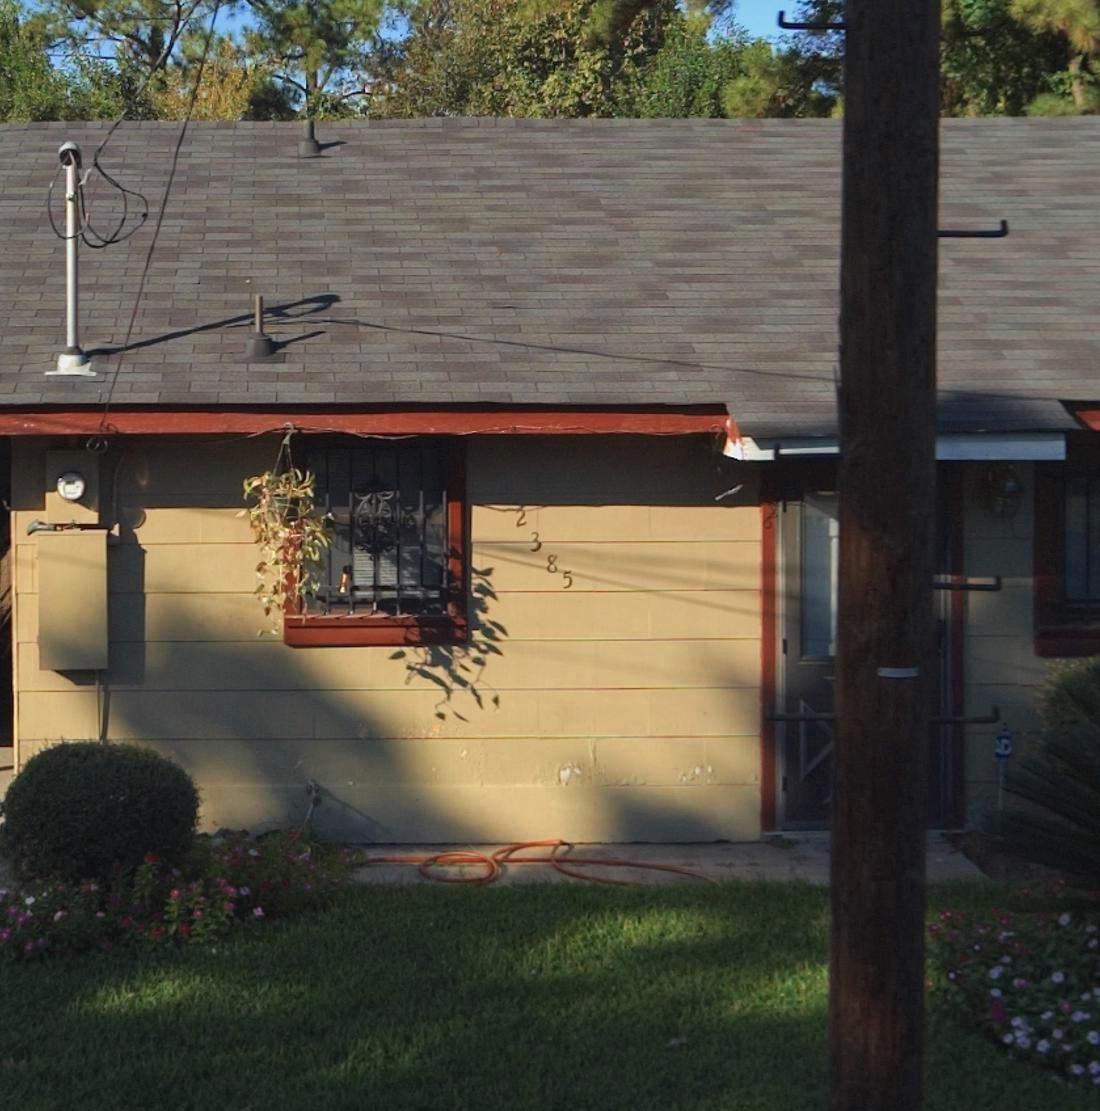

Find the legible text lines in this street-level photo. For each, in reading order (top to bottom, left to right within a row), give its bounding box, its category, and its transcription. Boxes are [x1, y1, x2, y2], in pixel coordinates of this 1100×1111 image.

[512, 508, 575, 591] StreetNumber: 2385